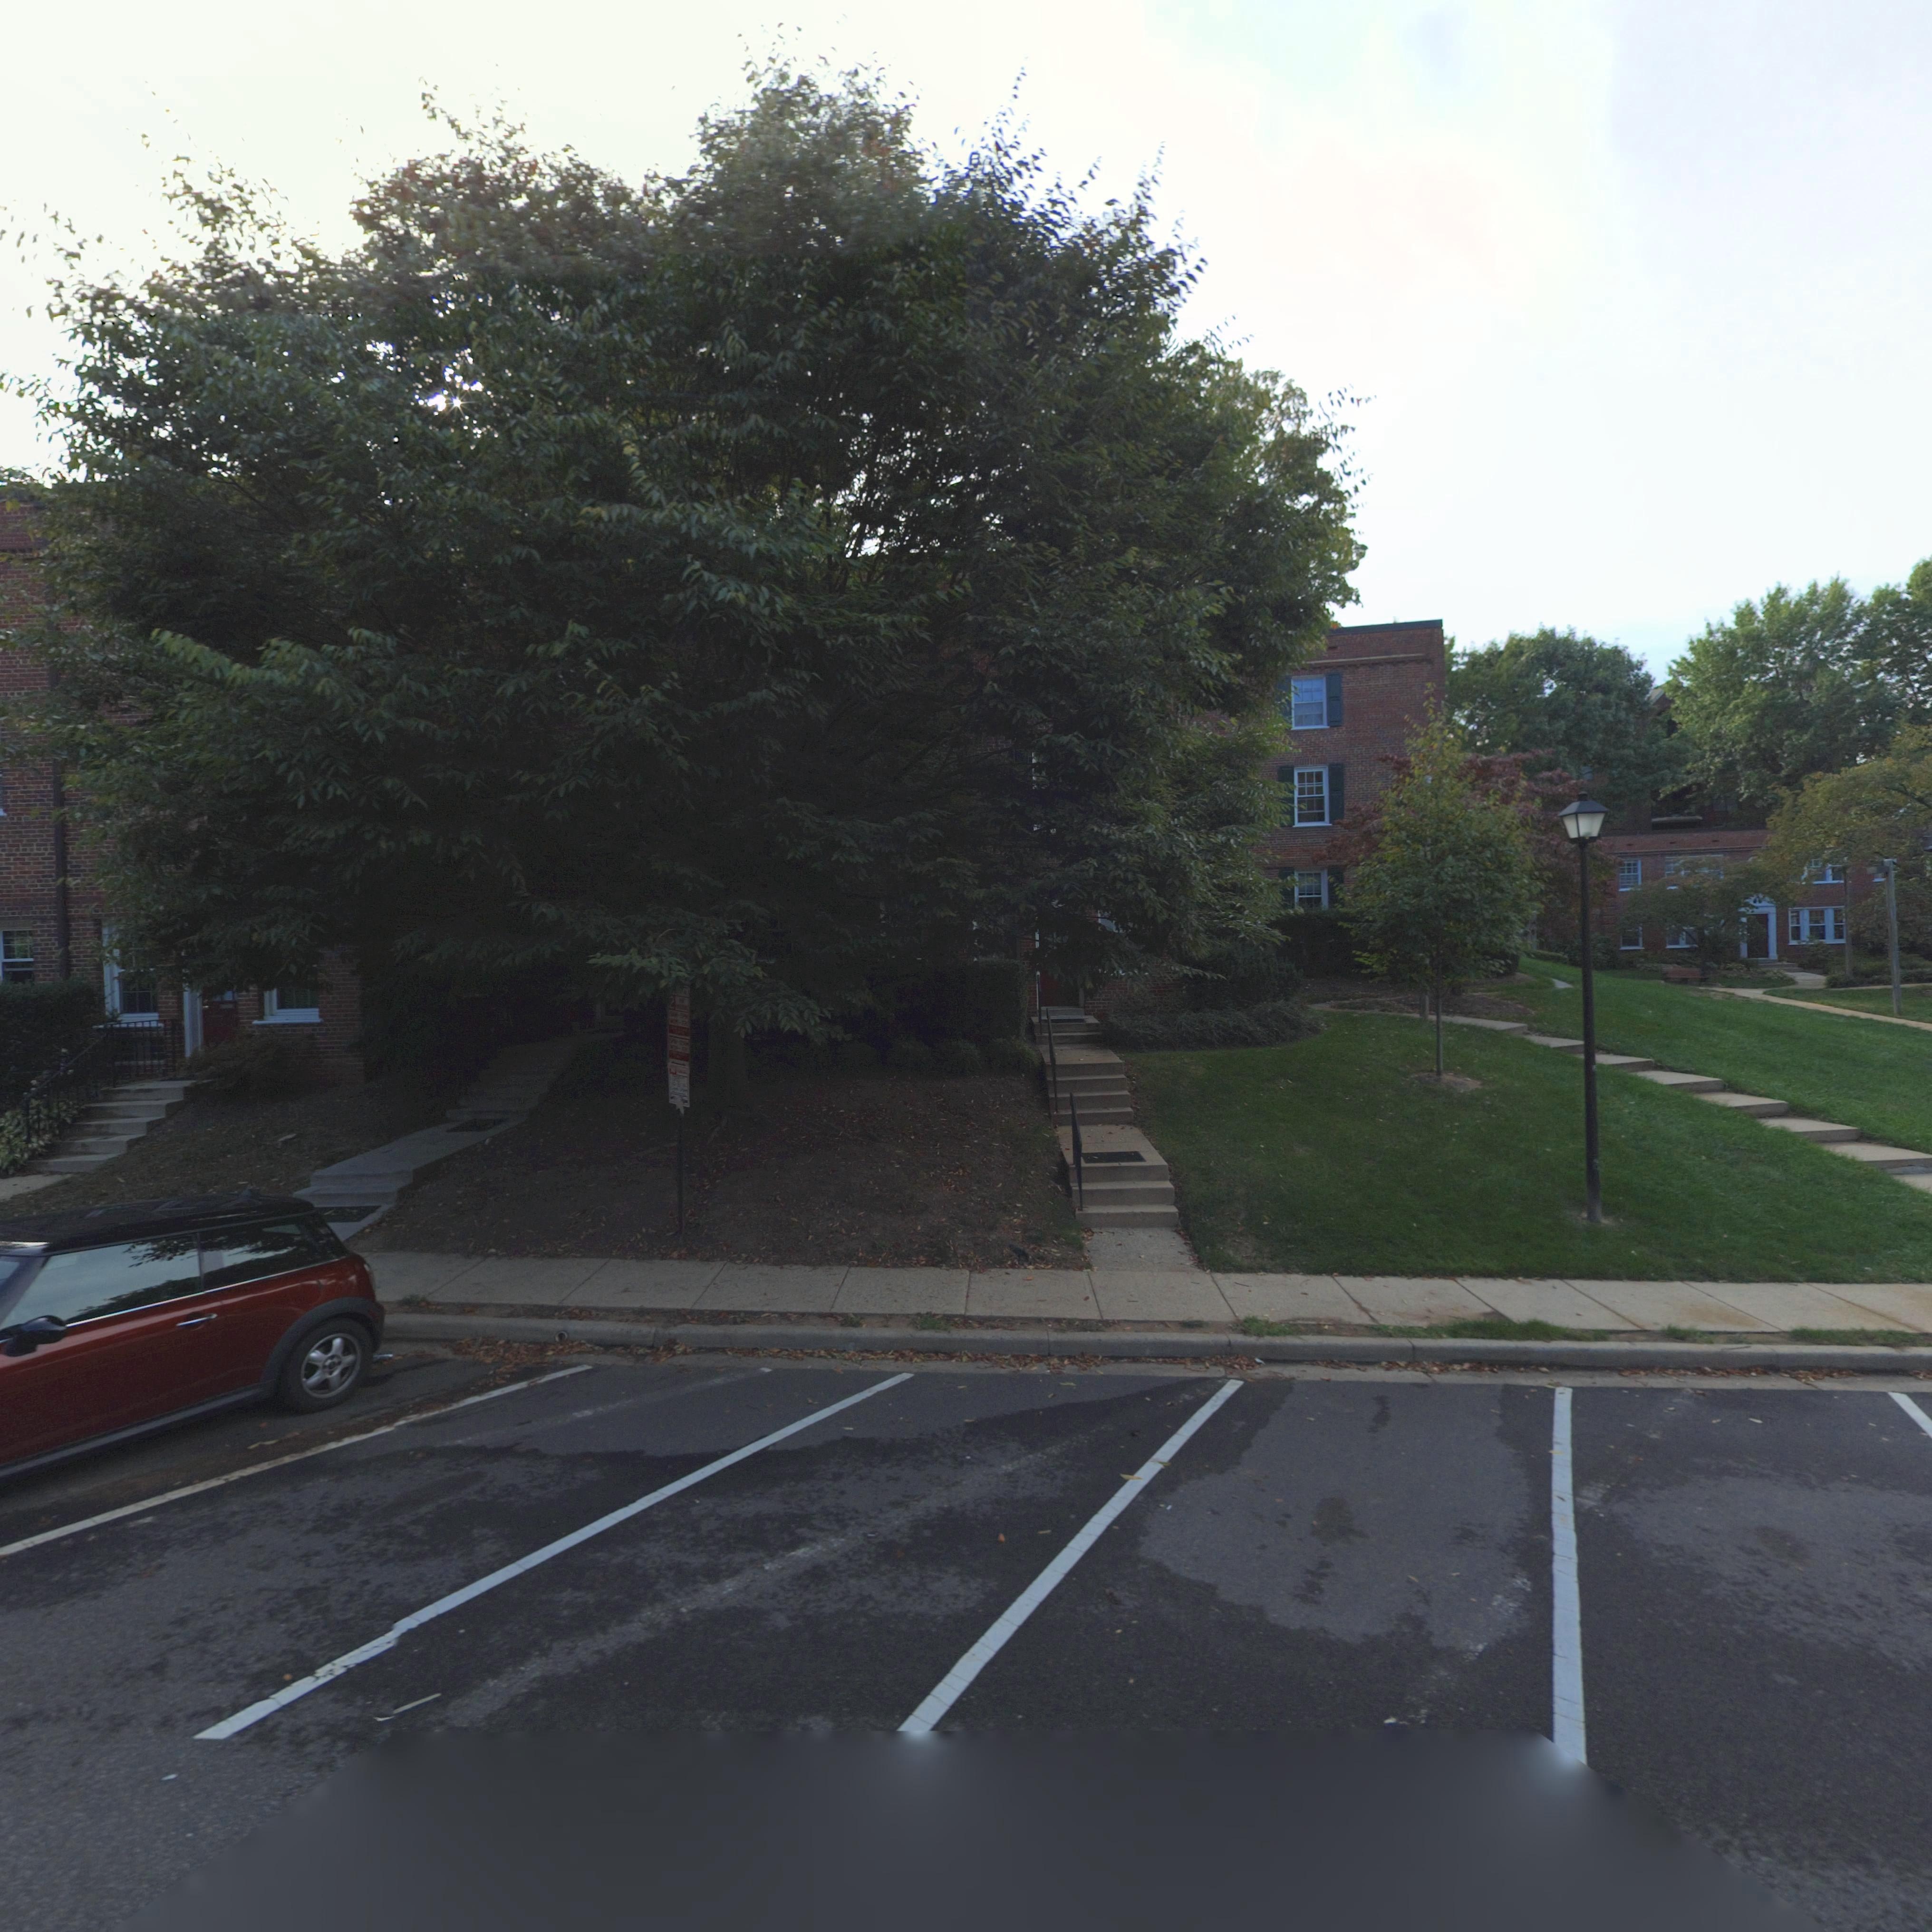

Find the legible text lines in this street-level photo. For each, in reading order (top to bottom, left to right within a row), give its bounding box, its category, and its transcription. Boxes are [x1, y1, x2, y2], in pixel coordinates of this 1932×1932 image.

[667, 995, 676, 1011] None: 2